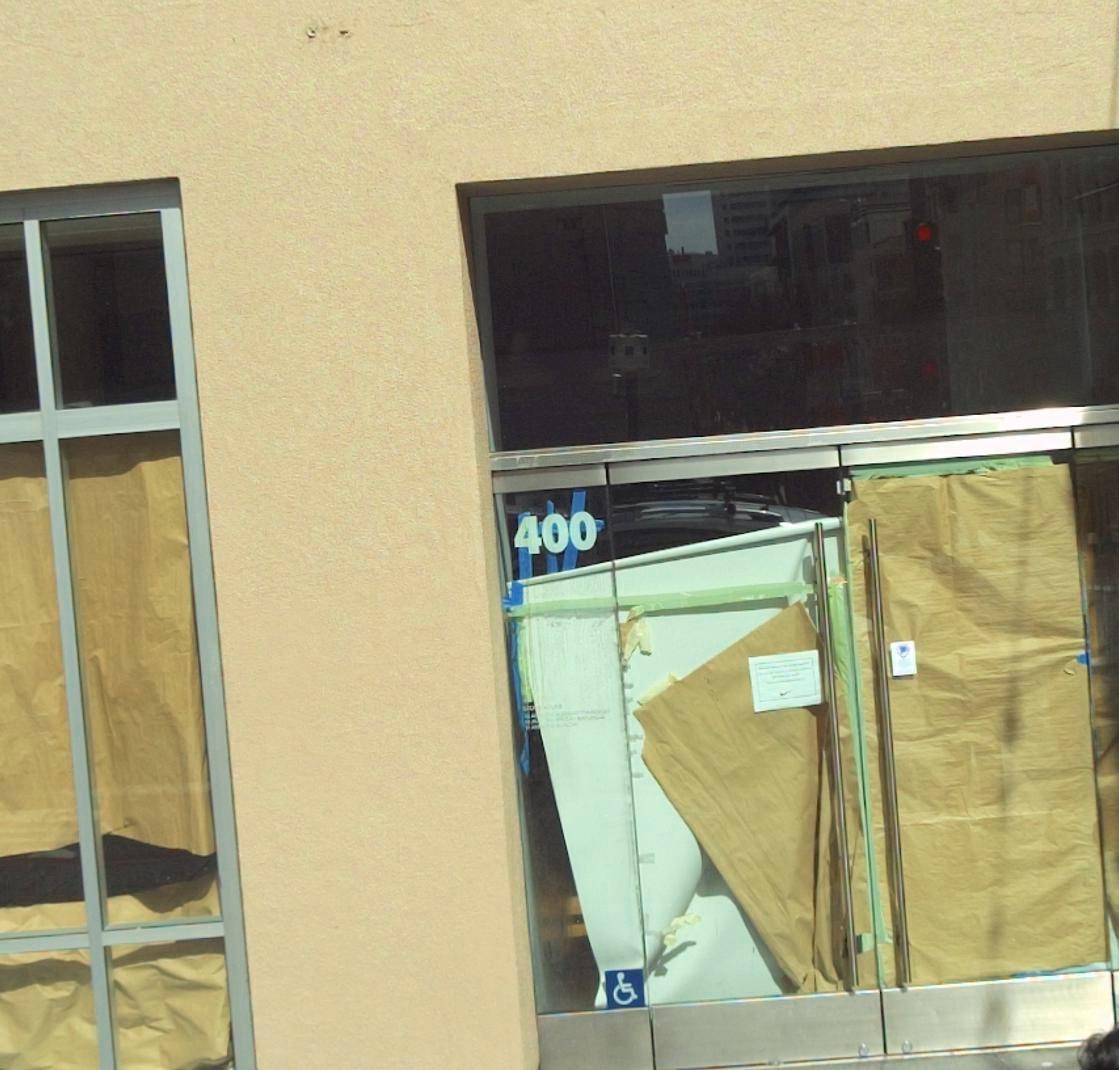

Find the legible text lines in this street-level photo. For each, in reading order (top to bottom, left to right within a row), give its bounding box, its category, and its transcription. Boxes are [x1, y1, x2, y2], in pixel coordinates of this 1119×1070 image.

[508, 508, 603, 557] StreetNumber: 400